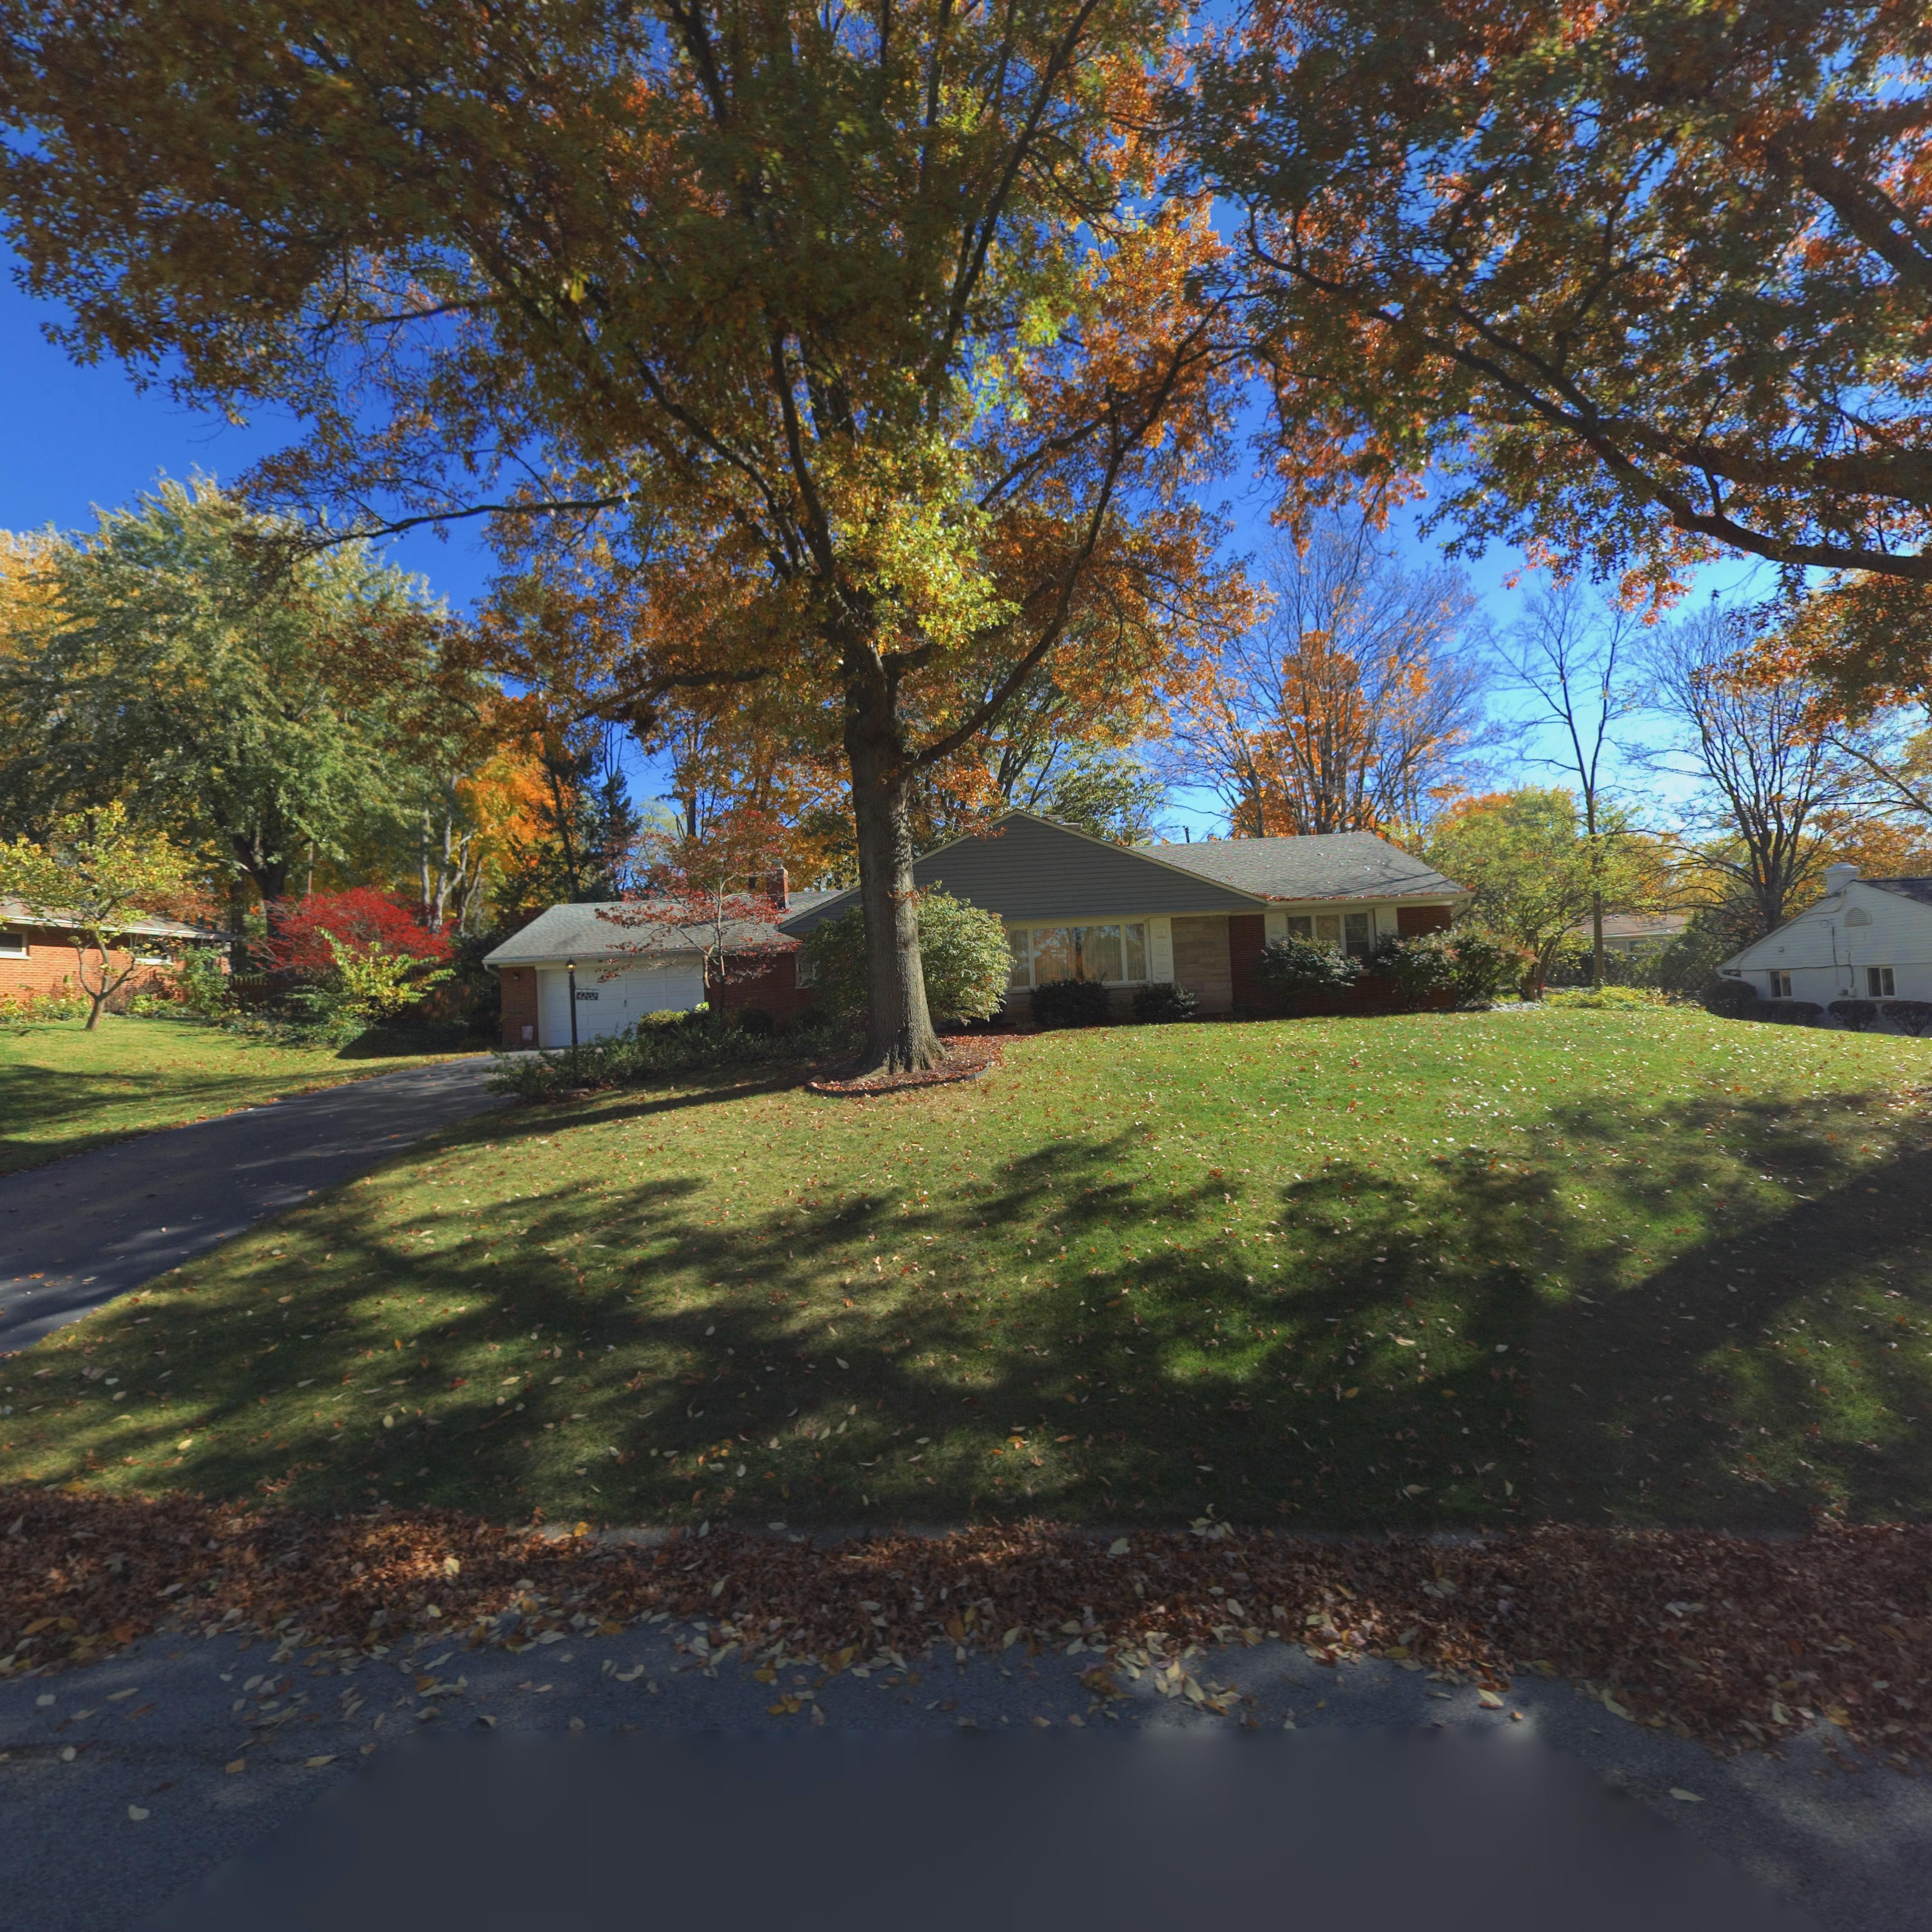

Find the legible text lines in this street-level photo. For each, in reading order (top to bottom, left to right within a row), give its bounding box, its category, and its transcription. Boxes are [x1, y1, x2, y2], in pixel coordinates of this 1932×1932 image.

[577, 992, 598, 1000] StreetNumber: 4202